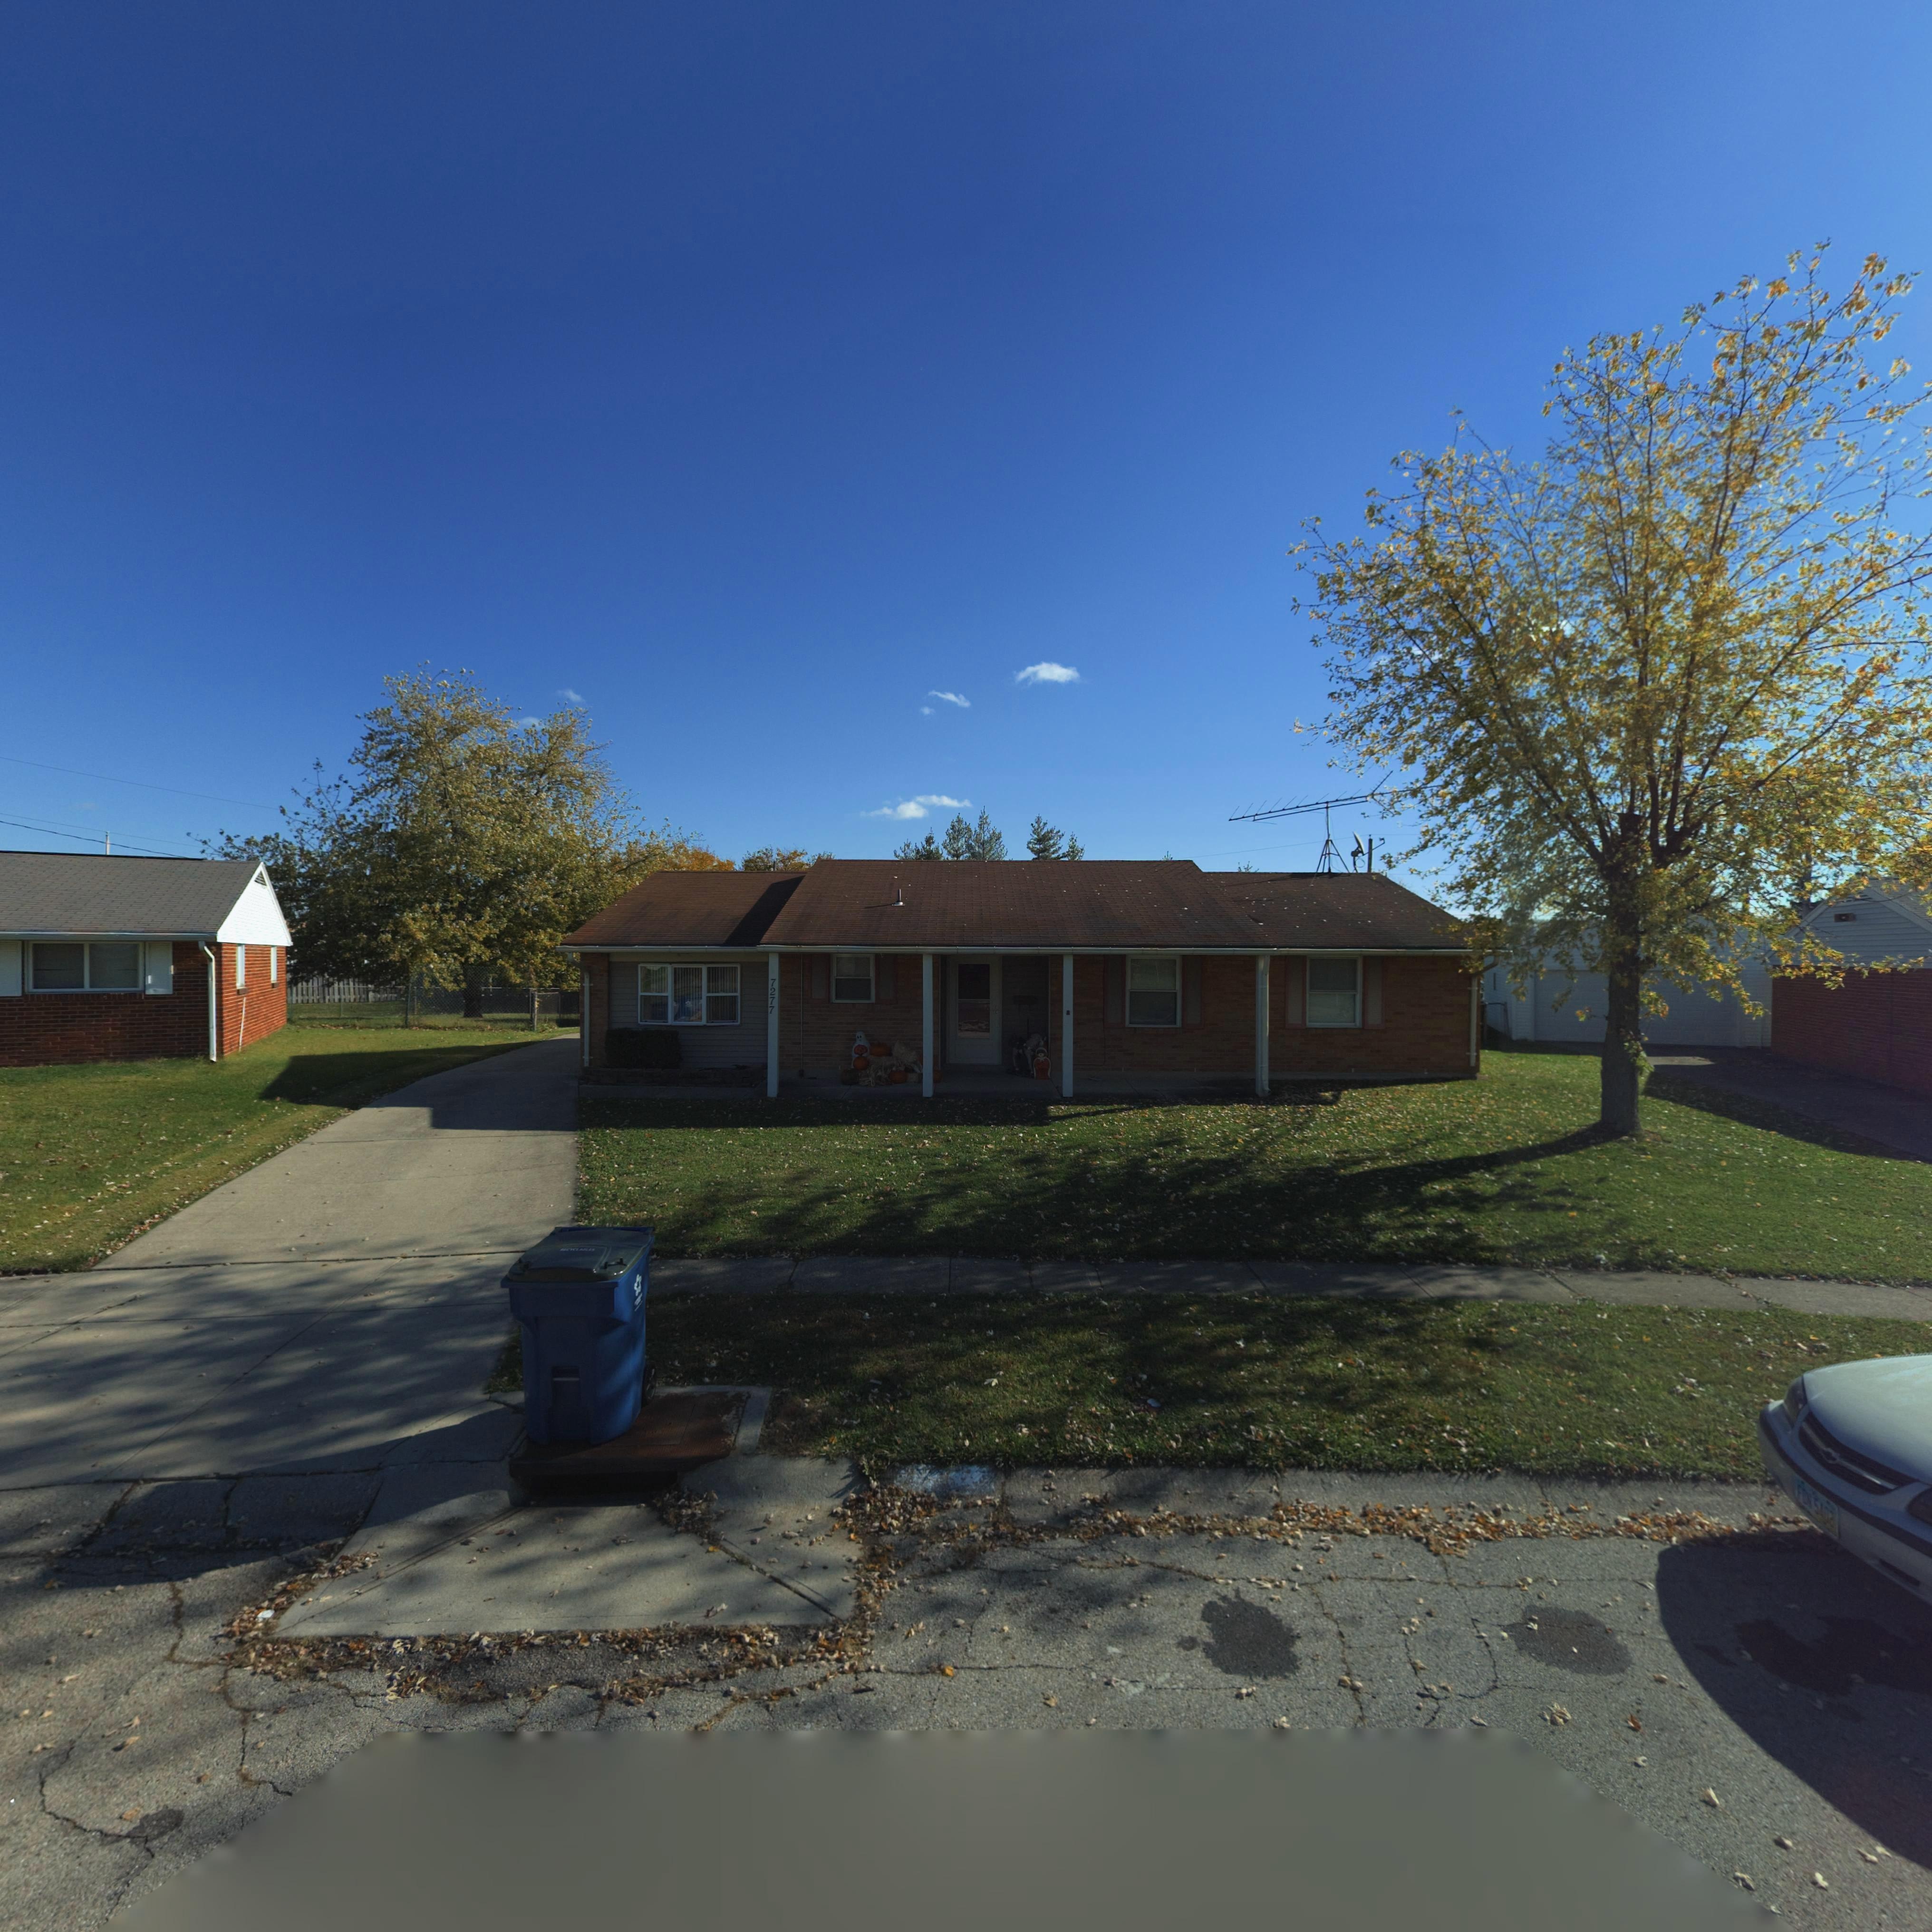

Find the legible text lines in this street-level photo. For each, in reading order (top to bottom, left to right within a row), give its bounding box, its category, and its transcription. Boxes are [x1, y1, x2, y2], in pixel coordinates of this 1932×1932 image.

[768, 977, 777, 1015] StreetNumber: 7277